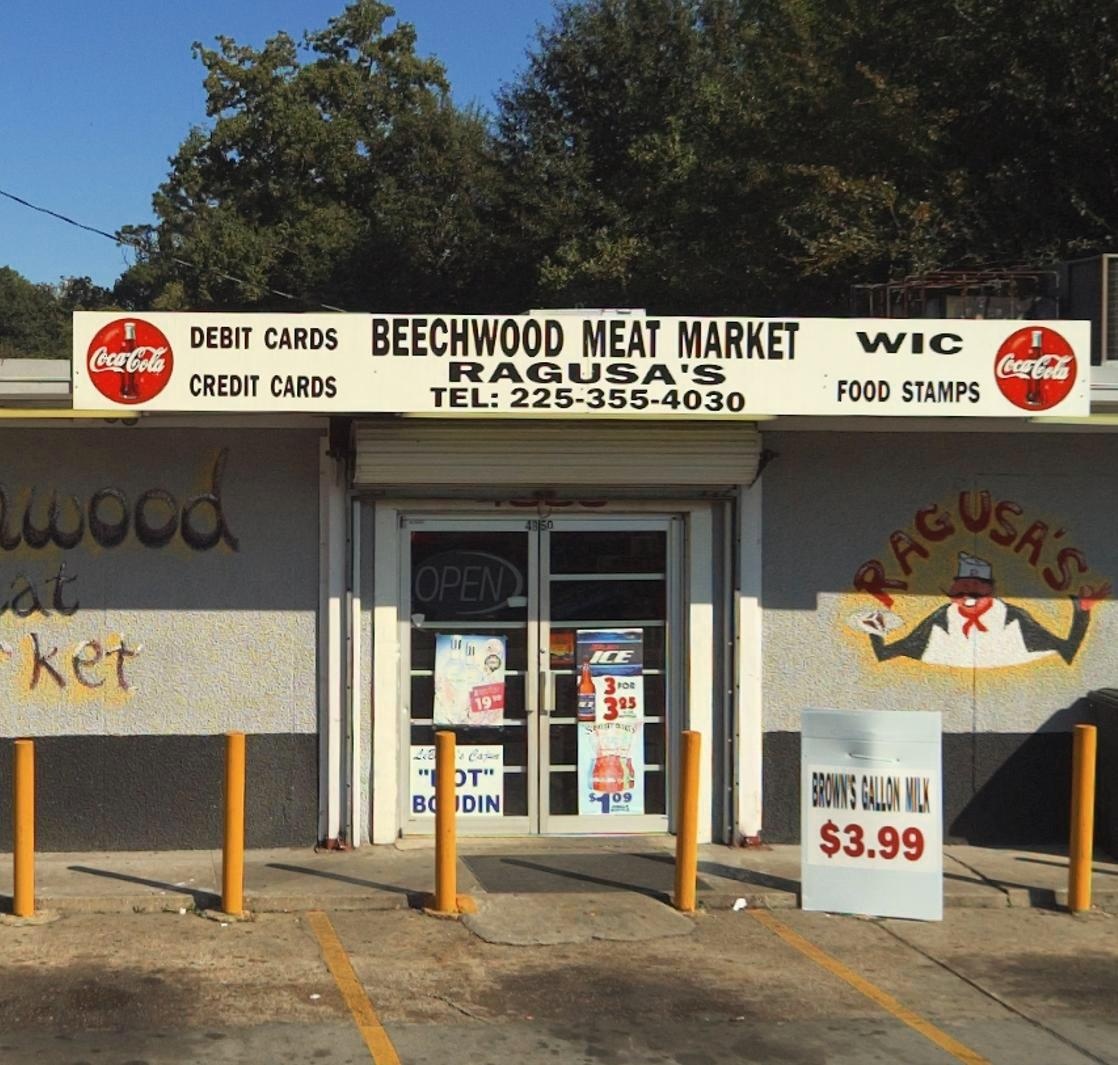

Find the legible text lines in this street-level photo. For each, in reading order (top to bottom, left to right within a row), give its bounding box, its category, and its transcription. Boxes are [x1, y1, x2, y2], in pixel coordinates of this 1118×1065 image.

[190, 325, 337, 351] None: DEBIT CARDS
[370, 317, 800, 361] BusinessName: BEECHWOOD MEAT MARKET
[854, 330, 963, 356] None: WIC
[89, 345, 168, 374] None: Coca-Cola
[189, 373, 337, 399] None: CREDIT CARDS
[447, 361, 727, 387] BusinessName: RAGUSA'S
[429, 385, 746, 413] None: TEL: 225-355-4030
[835, 378, 981, 404] None: FOOD STAMPS
[996, 352, 1074, 381] None: Coca-Cola
[19, 445, 242, 555] BusinessName: wood
[524, 519, 554, 531] StreetNumber: 4850
[850, 488, 1091, 610] BusinessName: RAGUSA'S
[8, 559, 81, 620] BusinessName: at
[412, 564, 505, 604] None: OPEN
[26, 630, 147, 694] BusinessName: ket
[587, 650, 635, 664] None: ICE
[603, 676, 616, 696] None: 3
[616, 681, 636, 689] None: FOR
[473, 695, 492, 711] None: 19
[602, 696, 637, 721] None: 325
[467, 768, 483, 788] None: T
[411, 794, 500, 814] None: B**DIN
[596, 791, 633, 815] None: 109
[810, 771, 931, 815] None: BROWN'S GALLON MILK
[842, 822, 925, 863] None: 3.99